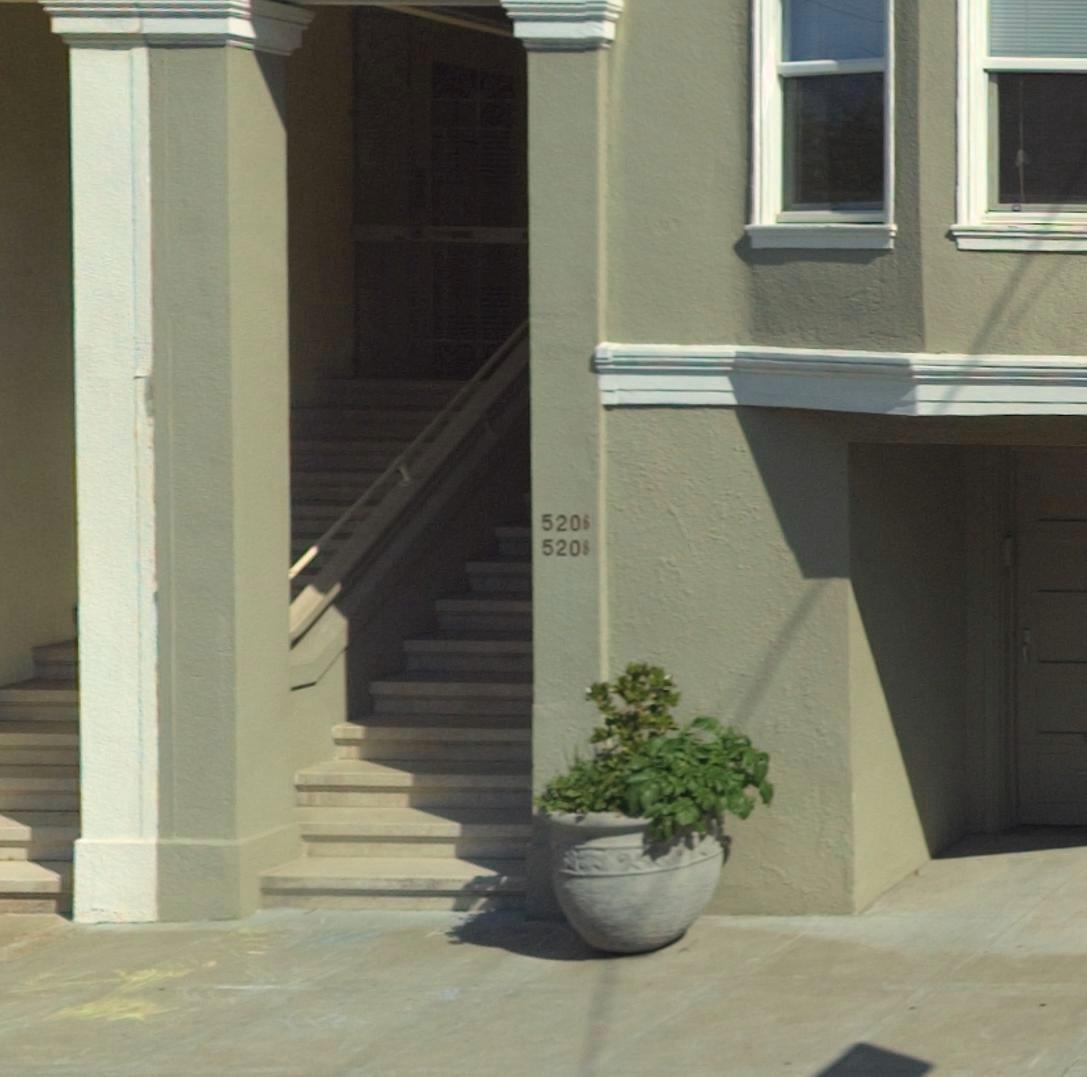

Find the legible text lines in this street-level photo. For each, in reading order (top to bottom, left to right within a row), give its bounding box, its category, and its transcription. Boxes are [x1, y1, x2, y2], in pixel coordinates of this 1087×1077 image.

[541, 513, 590, 533] StreetNumber: 5206
[541, 538, 591, 557] StreetNumber: 5208